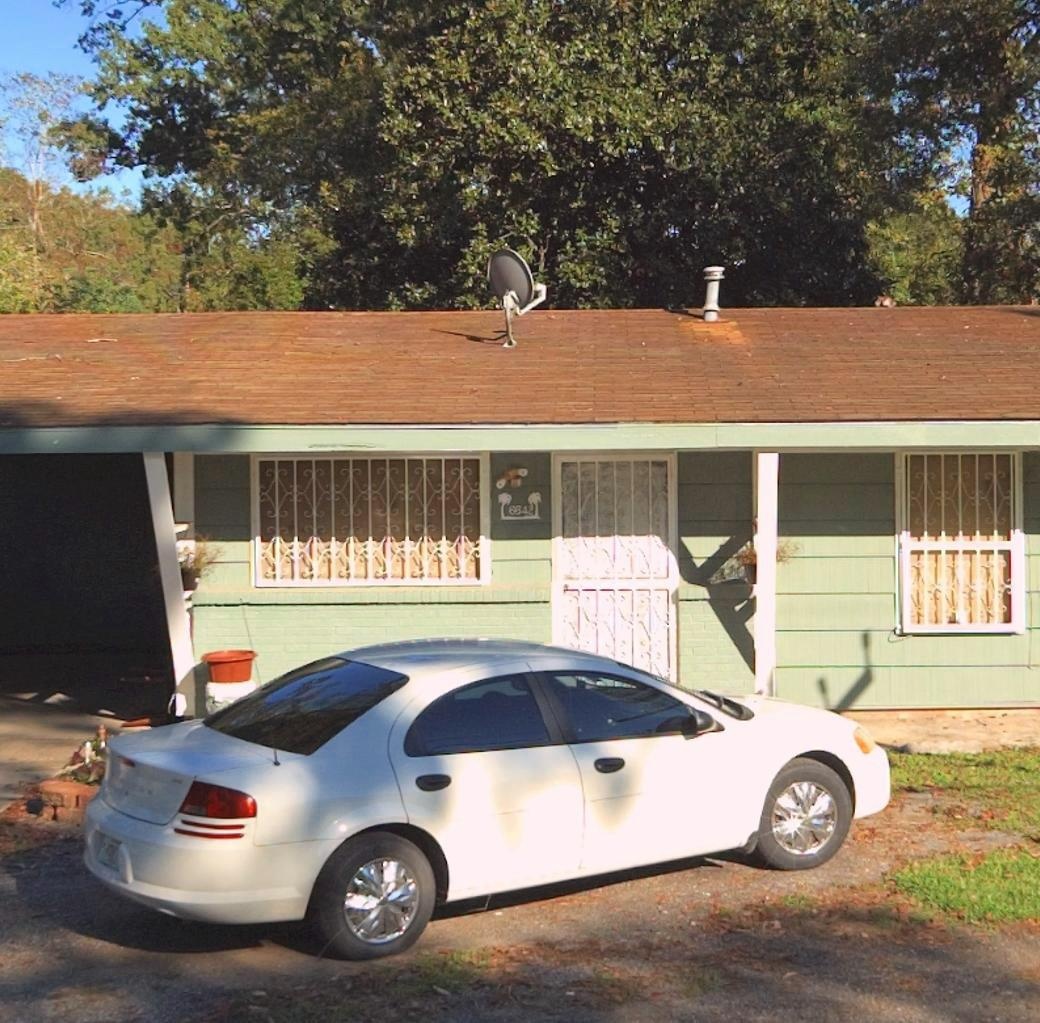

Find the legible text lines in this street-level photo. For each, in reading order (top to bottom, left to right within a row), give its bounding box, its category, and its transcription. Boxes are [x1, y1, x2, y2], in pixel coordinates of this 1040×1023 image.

[507, 504, 535, 516] StreetNumber: 6842